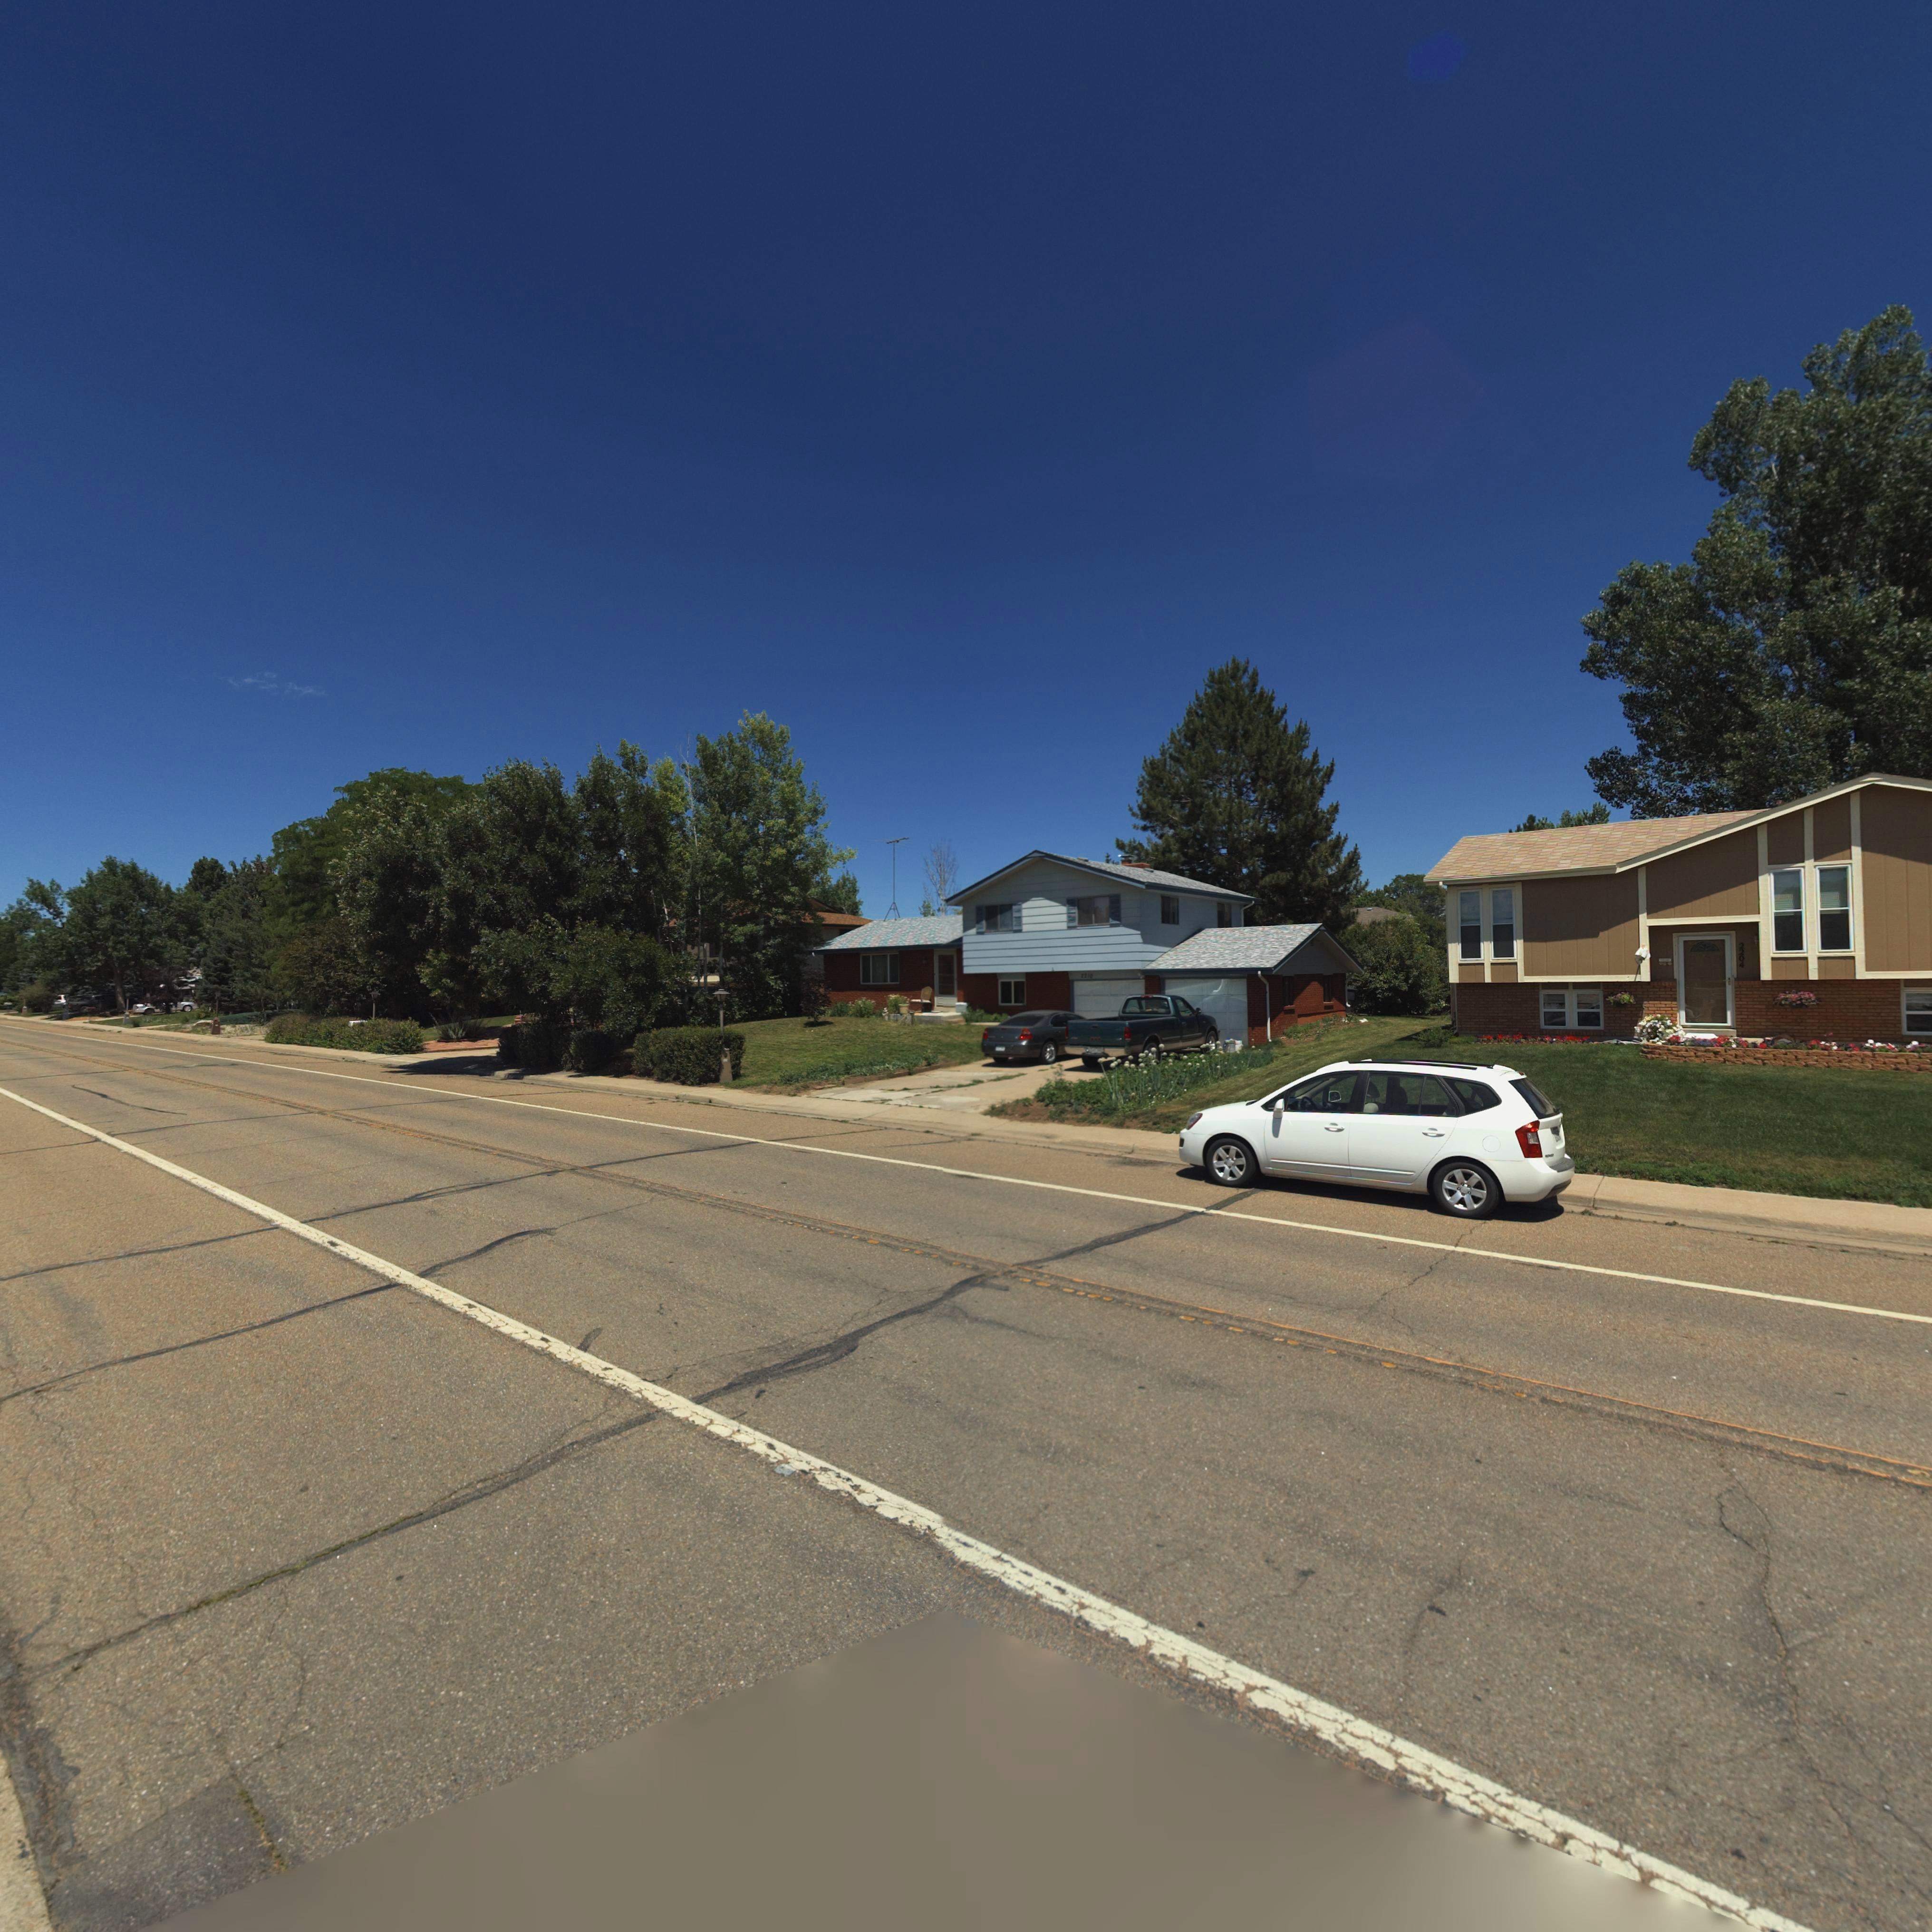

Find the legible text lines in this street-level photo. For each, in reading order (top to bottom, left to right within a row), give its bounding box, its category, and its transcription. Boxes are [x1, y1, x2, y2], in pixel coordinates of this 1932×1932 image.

[1739, 942, 1744, 968] StreetNumber: 2204
[1081, 973, 1093, 978] StreetNumber: 2*10